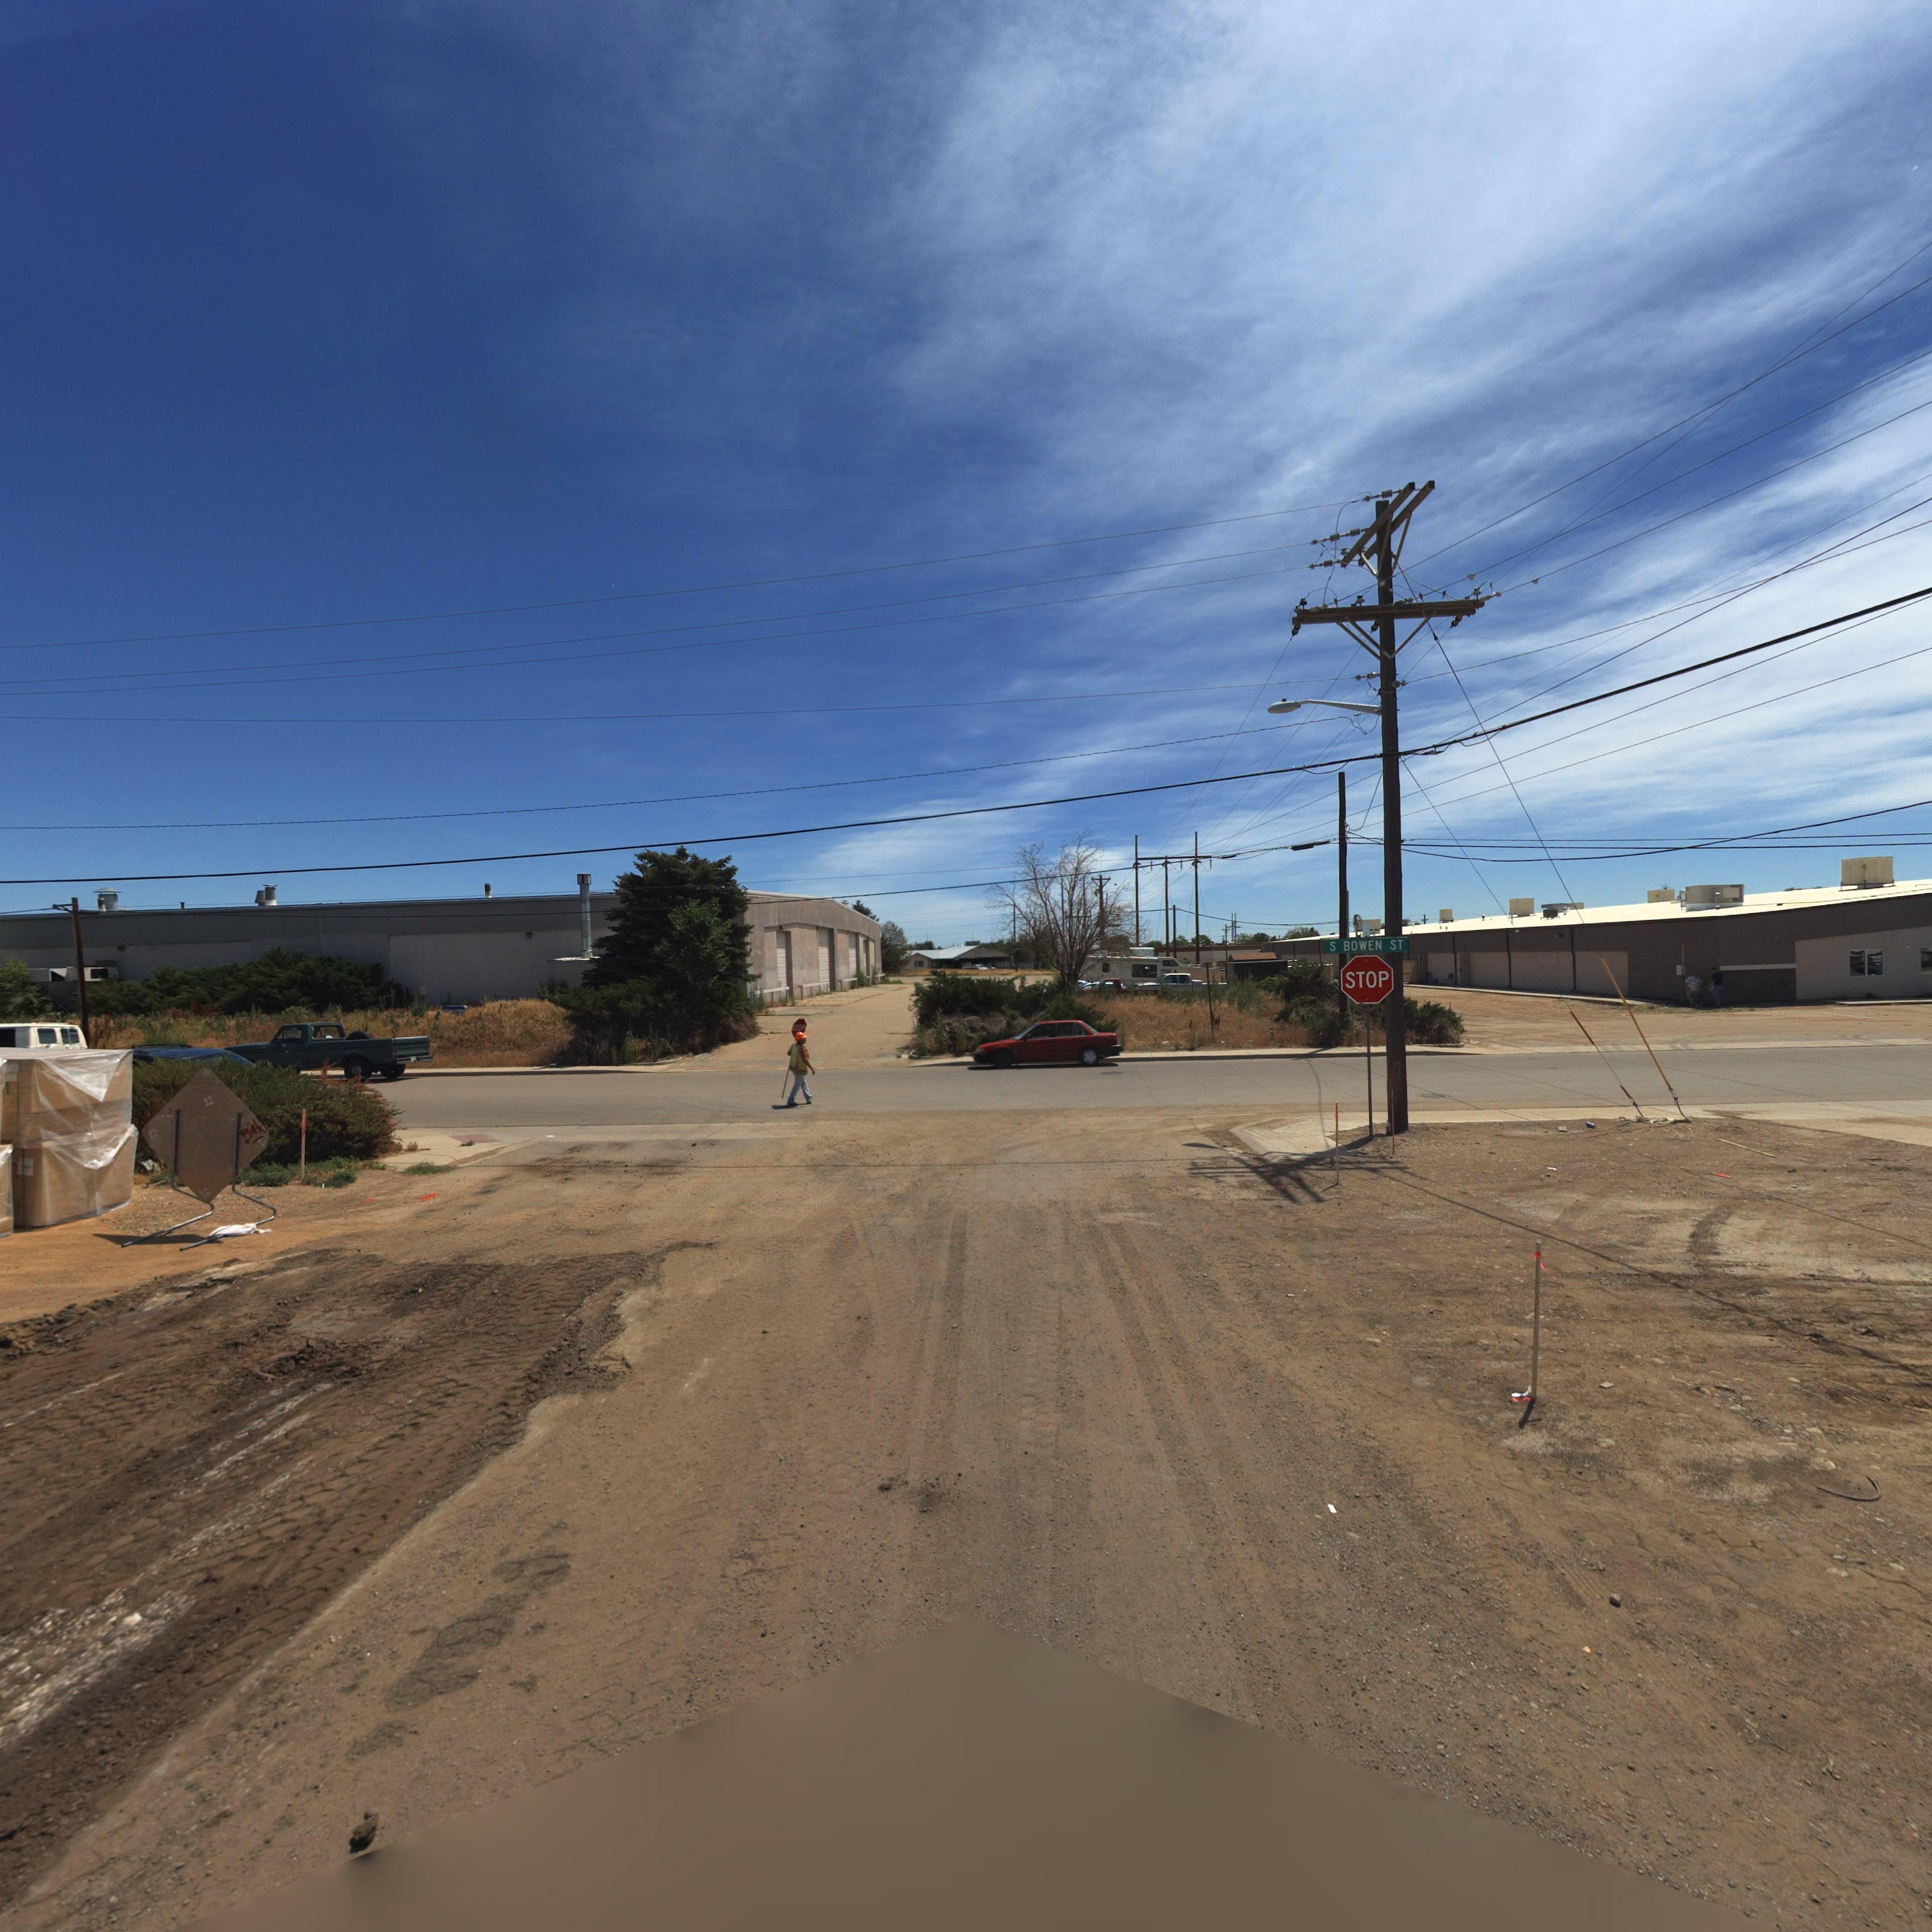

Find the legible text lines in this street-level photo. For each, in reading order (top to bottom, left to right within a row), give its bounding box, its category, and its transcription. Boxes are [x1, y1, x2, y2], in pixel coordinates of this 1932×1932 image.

[1329, 939, 1403, 952] StreetName: S BOWEN ST